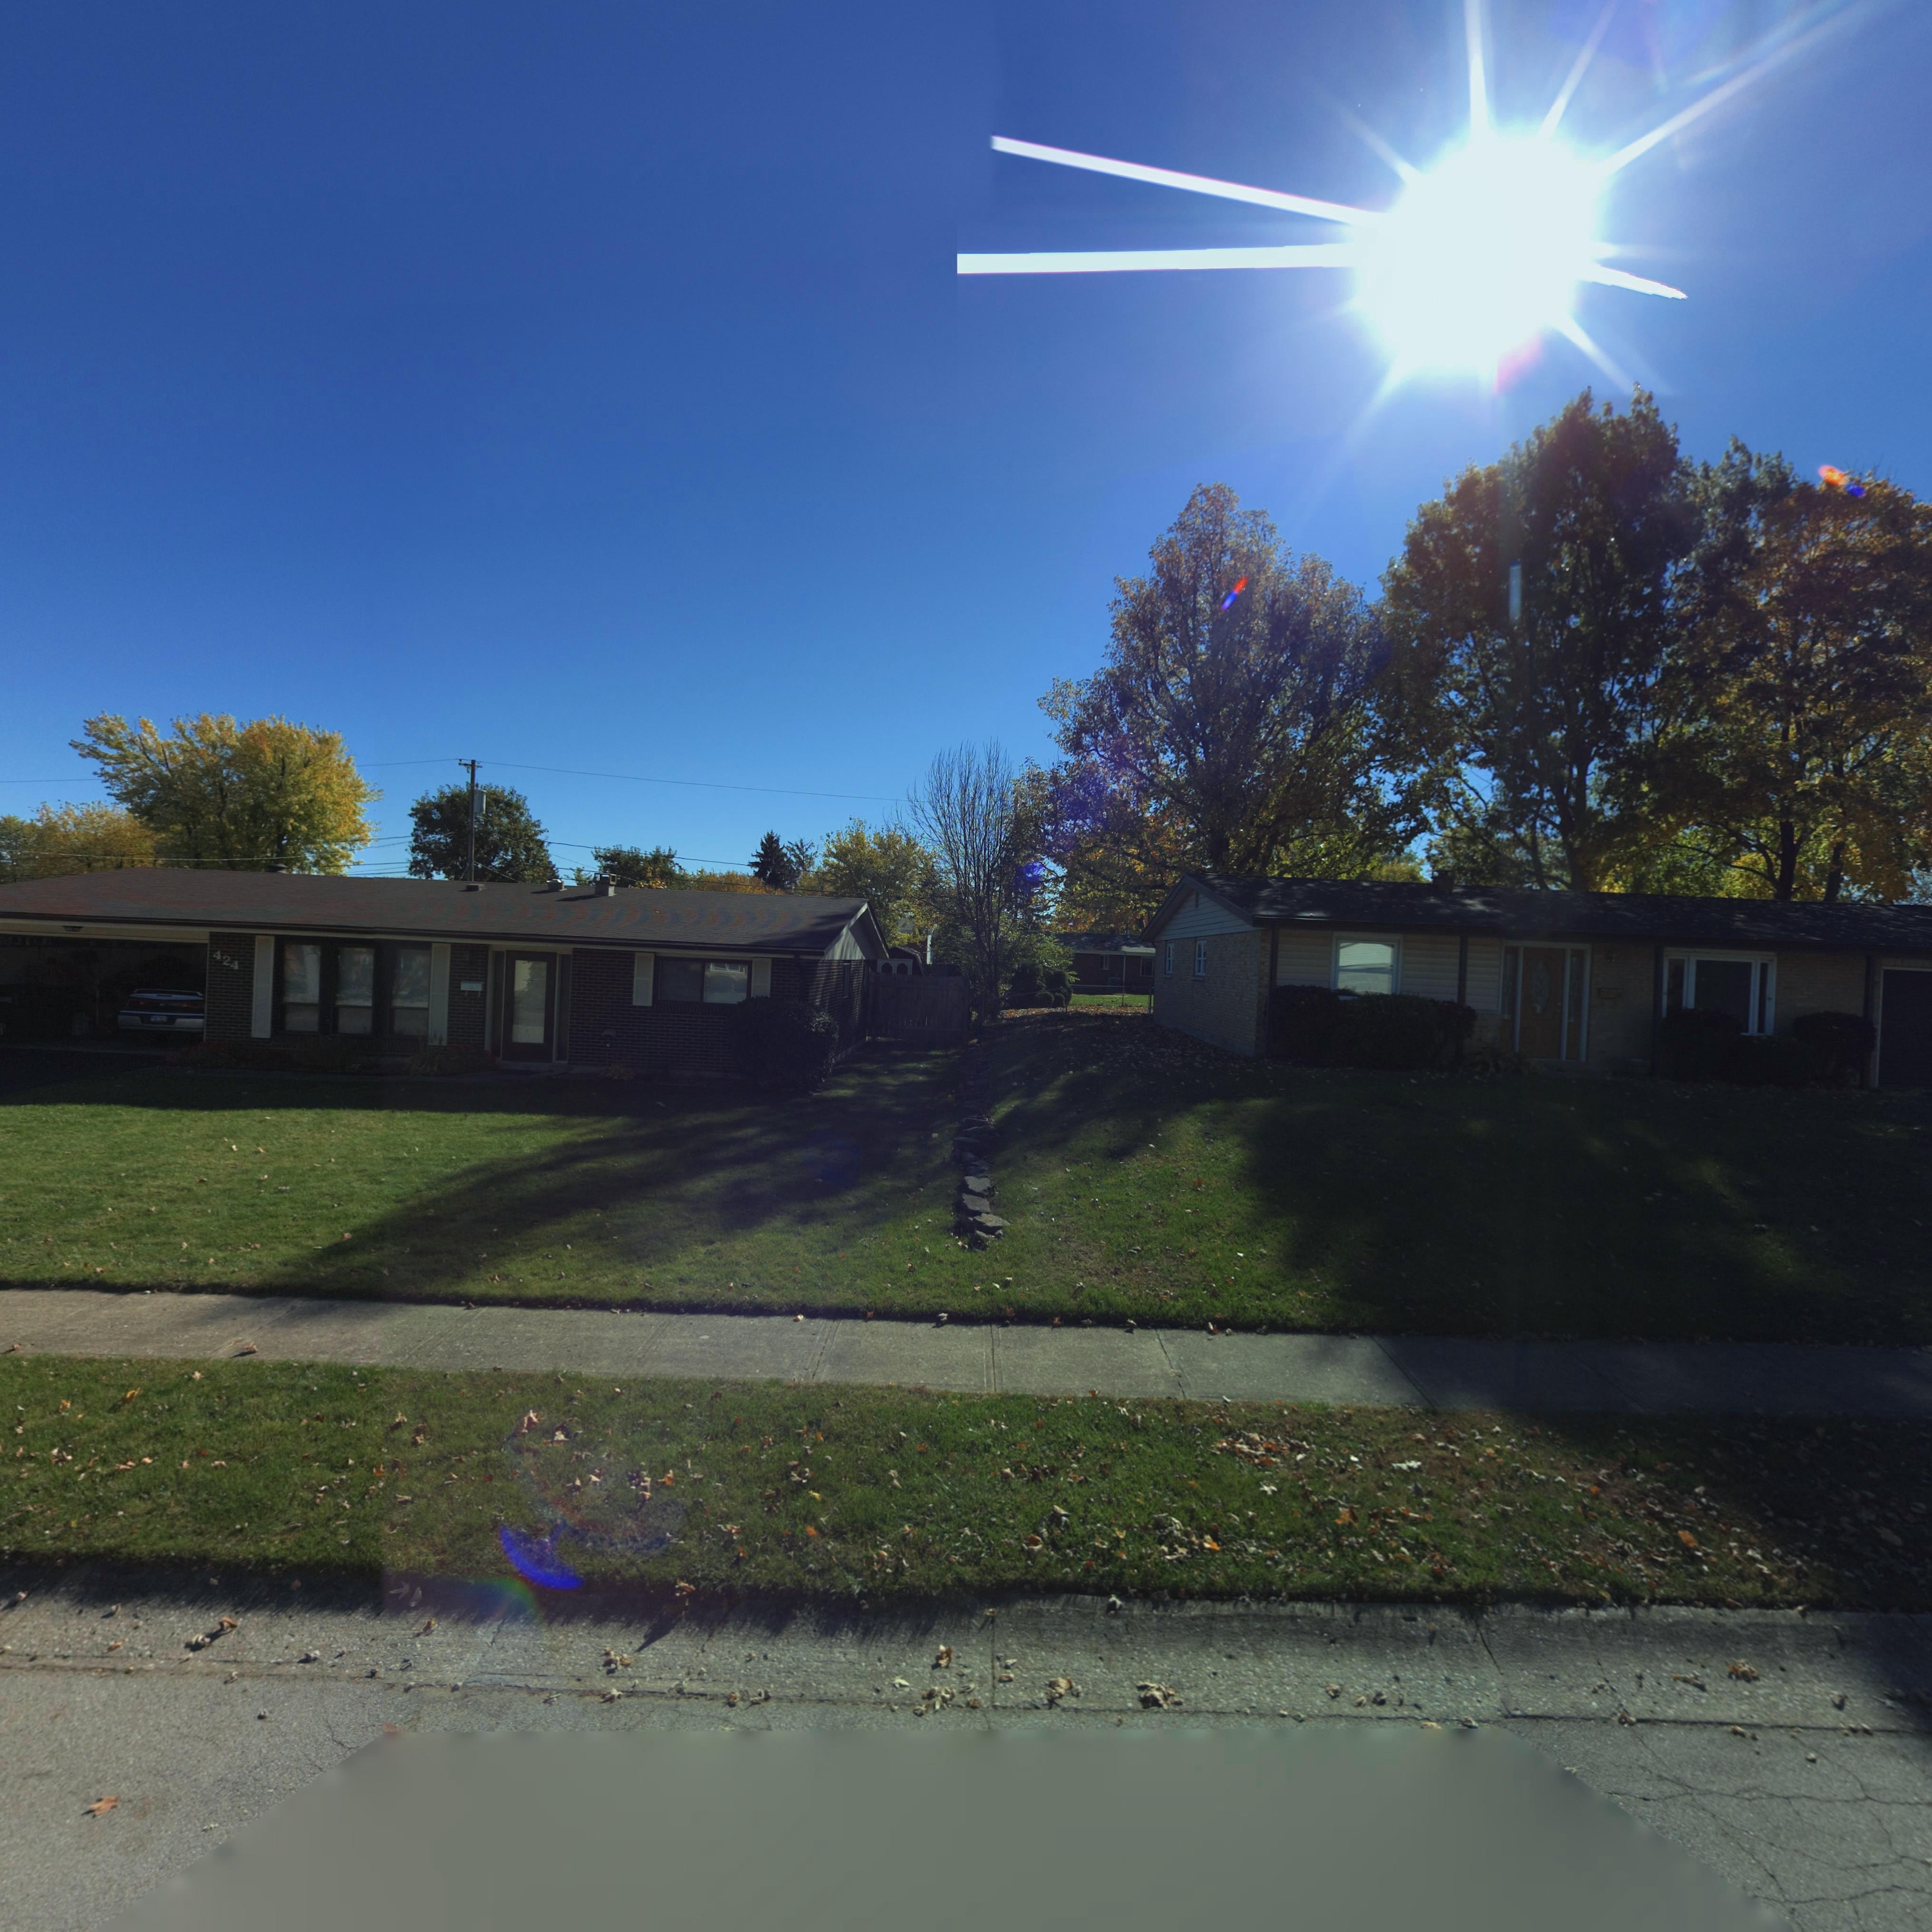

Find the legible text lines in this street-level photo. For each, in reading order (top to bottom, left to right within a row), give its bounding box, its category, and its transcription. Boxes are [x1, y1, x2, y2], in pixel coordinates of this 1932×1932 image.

[212, 949, 241, 971] StreetNumber: 424